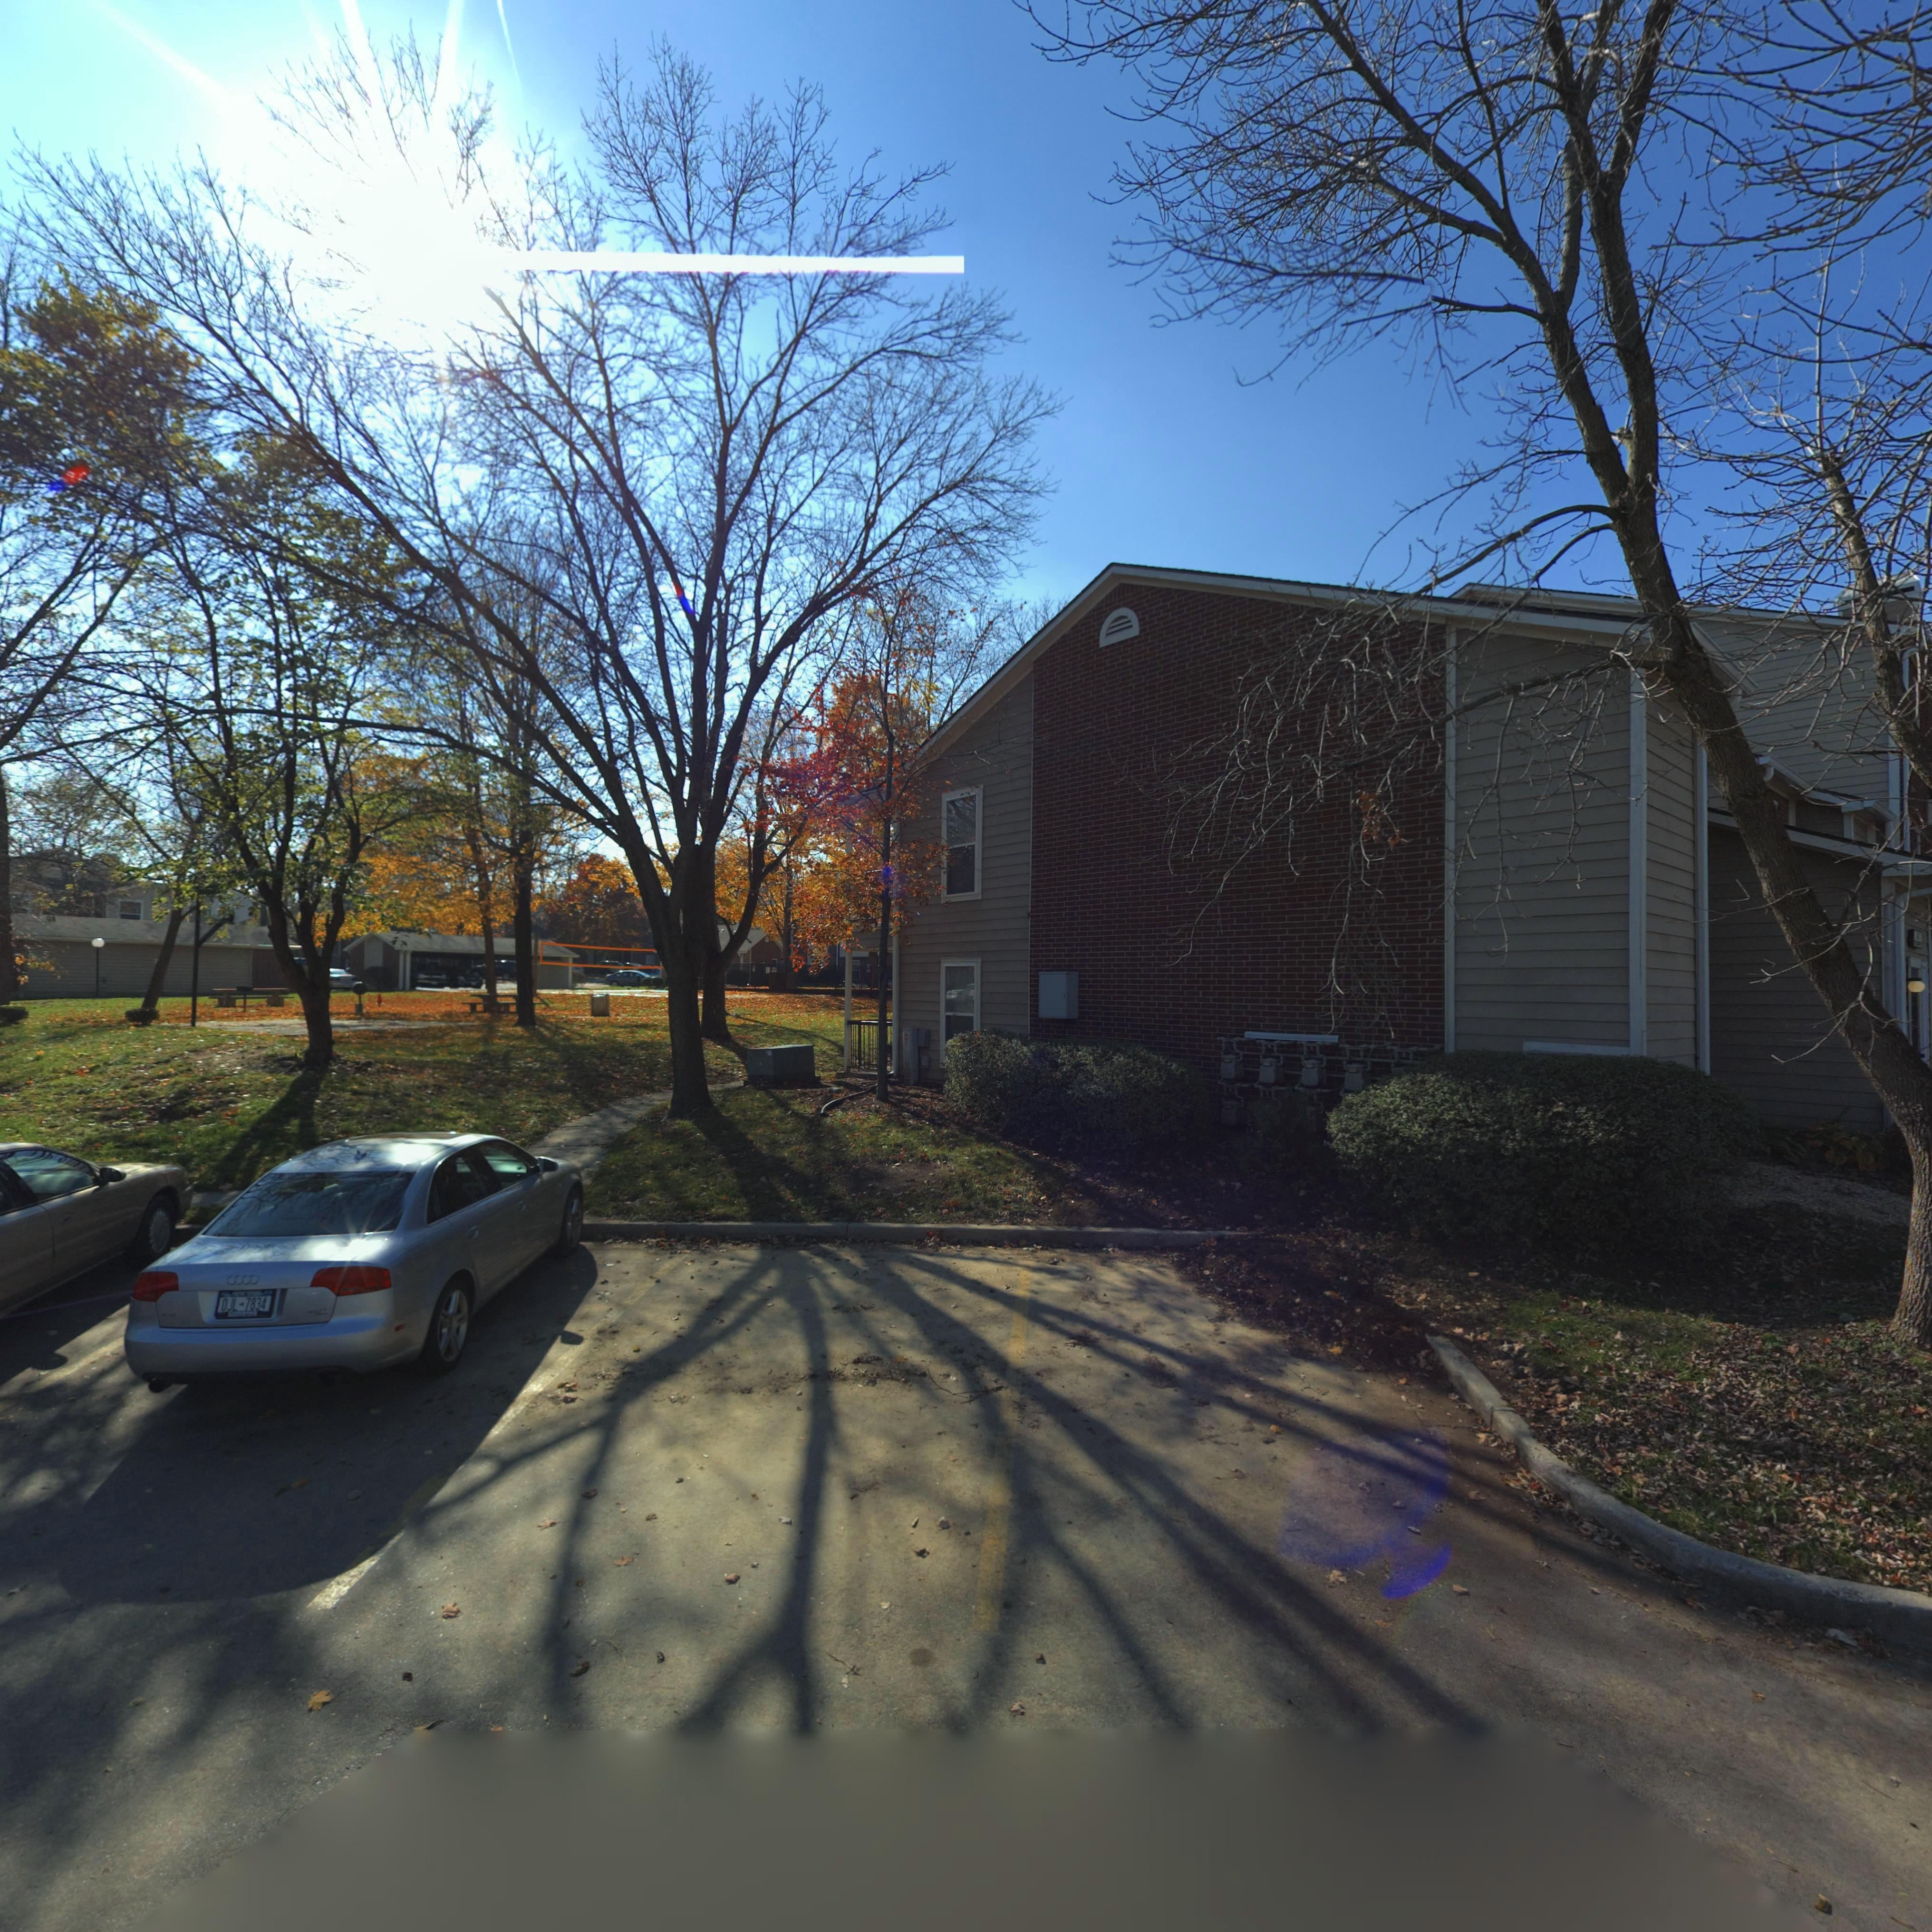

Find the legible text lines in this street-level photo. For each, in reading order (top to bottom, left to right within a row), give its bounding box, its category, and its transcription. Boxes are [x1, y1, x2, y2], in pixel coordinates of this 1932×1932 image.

[219, 1294, 270, 1314] None: DJL*7834